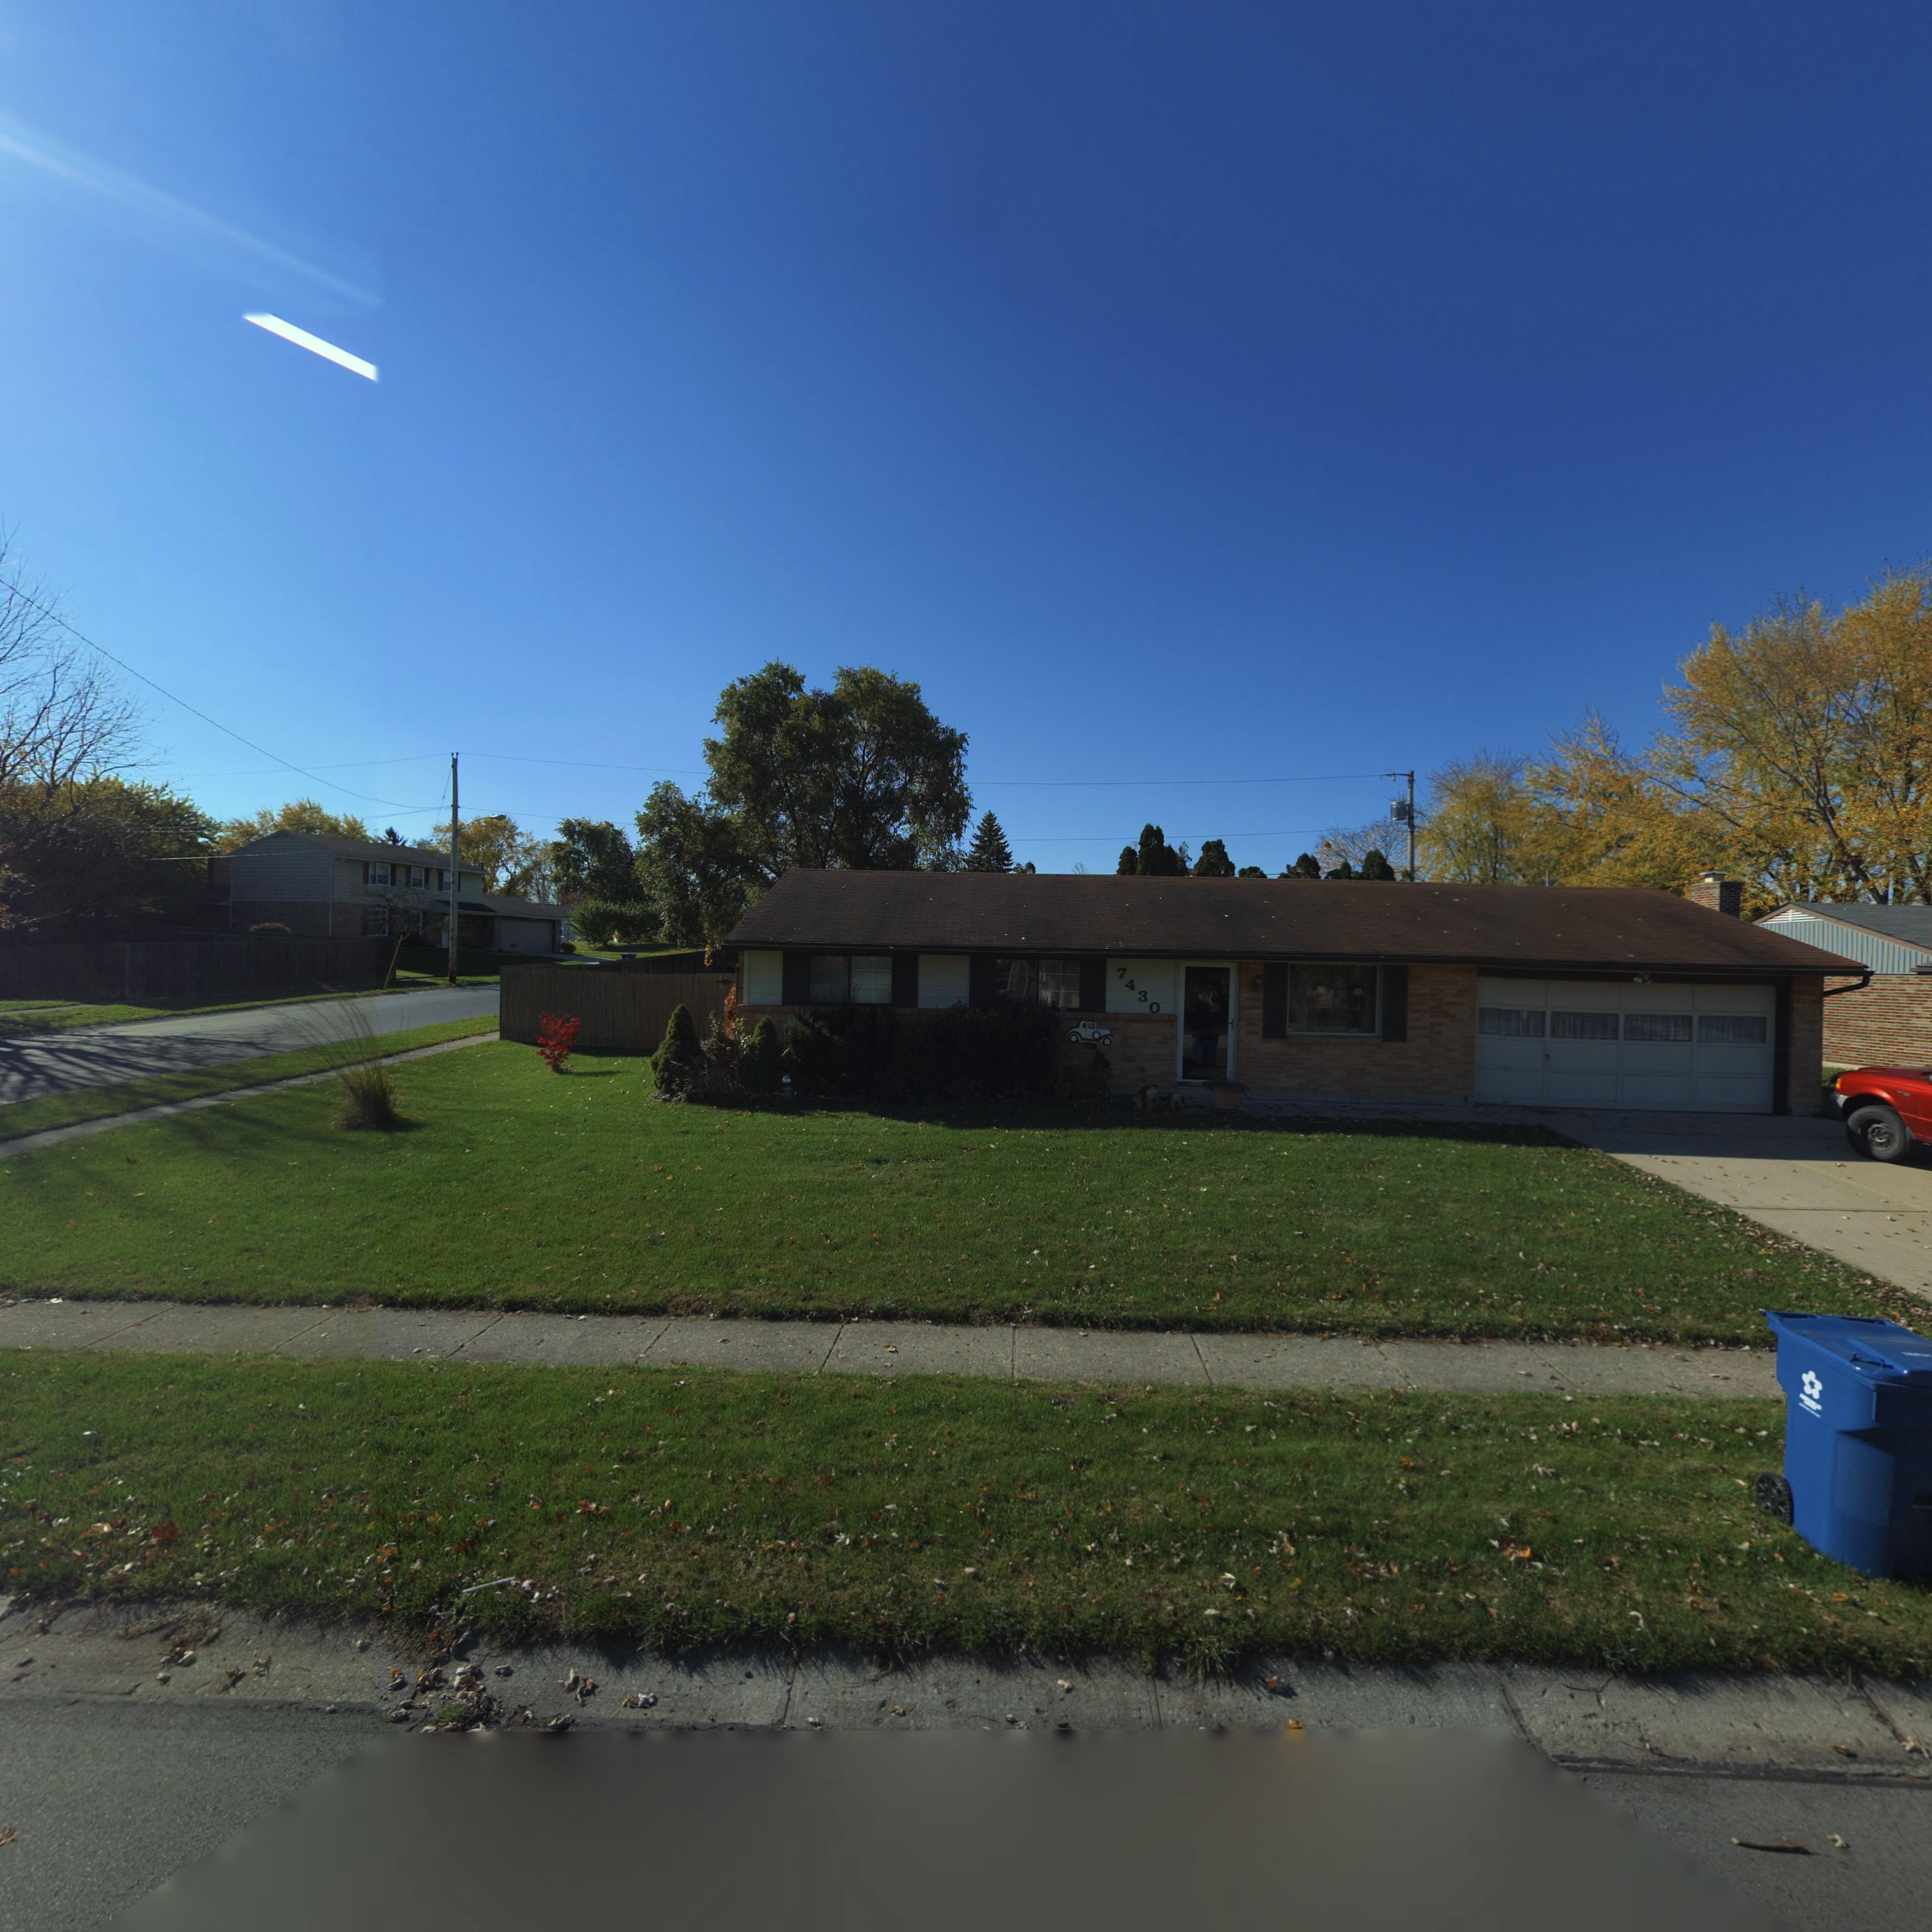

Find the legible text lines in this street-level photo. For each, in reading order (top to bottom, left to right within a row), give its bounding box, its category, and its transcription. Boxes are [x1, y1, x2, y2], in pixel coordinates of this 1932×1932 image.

[1116, 967, 1161, 1015] StreetNumber: 7430